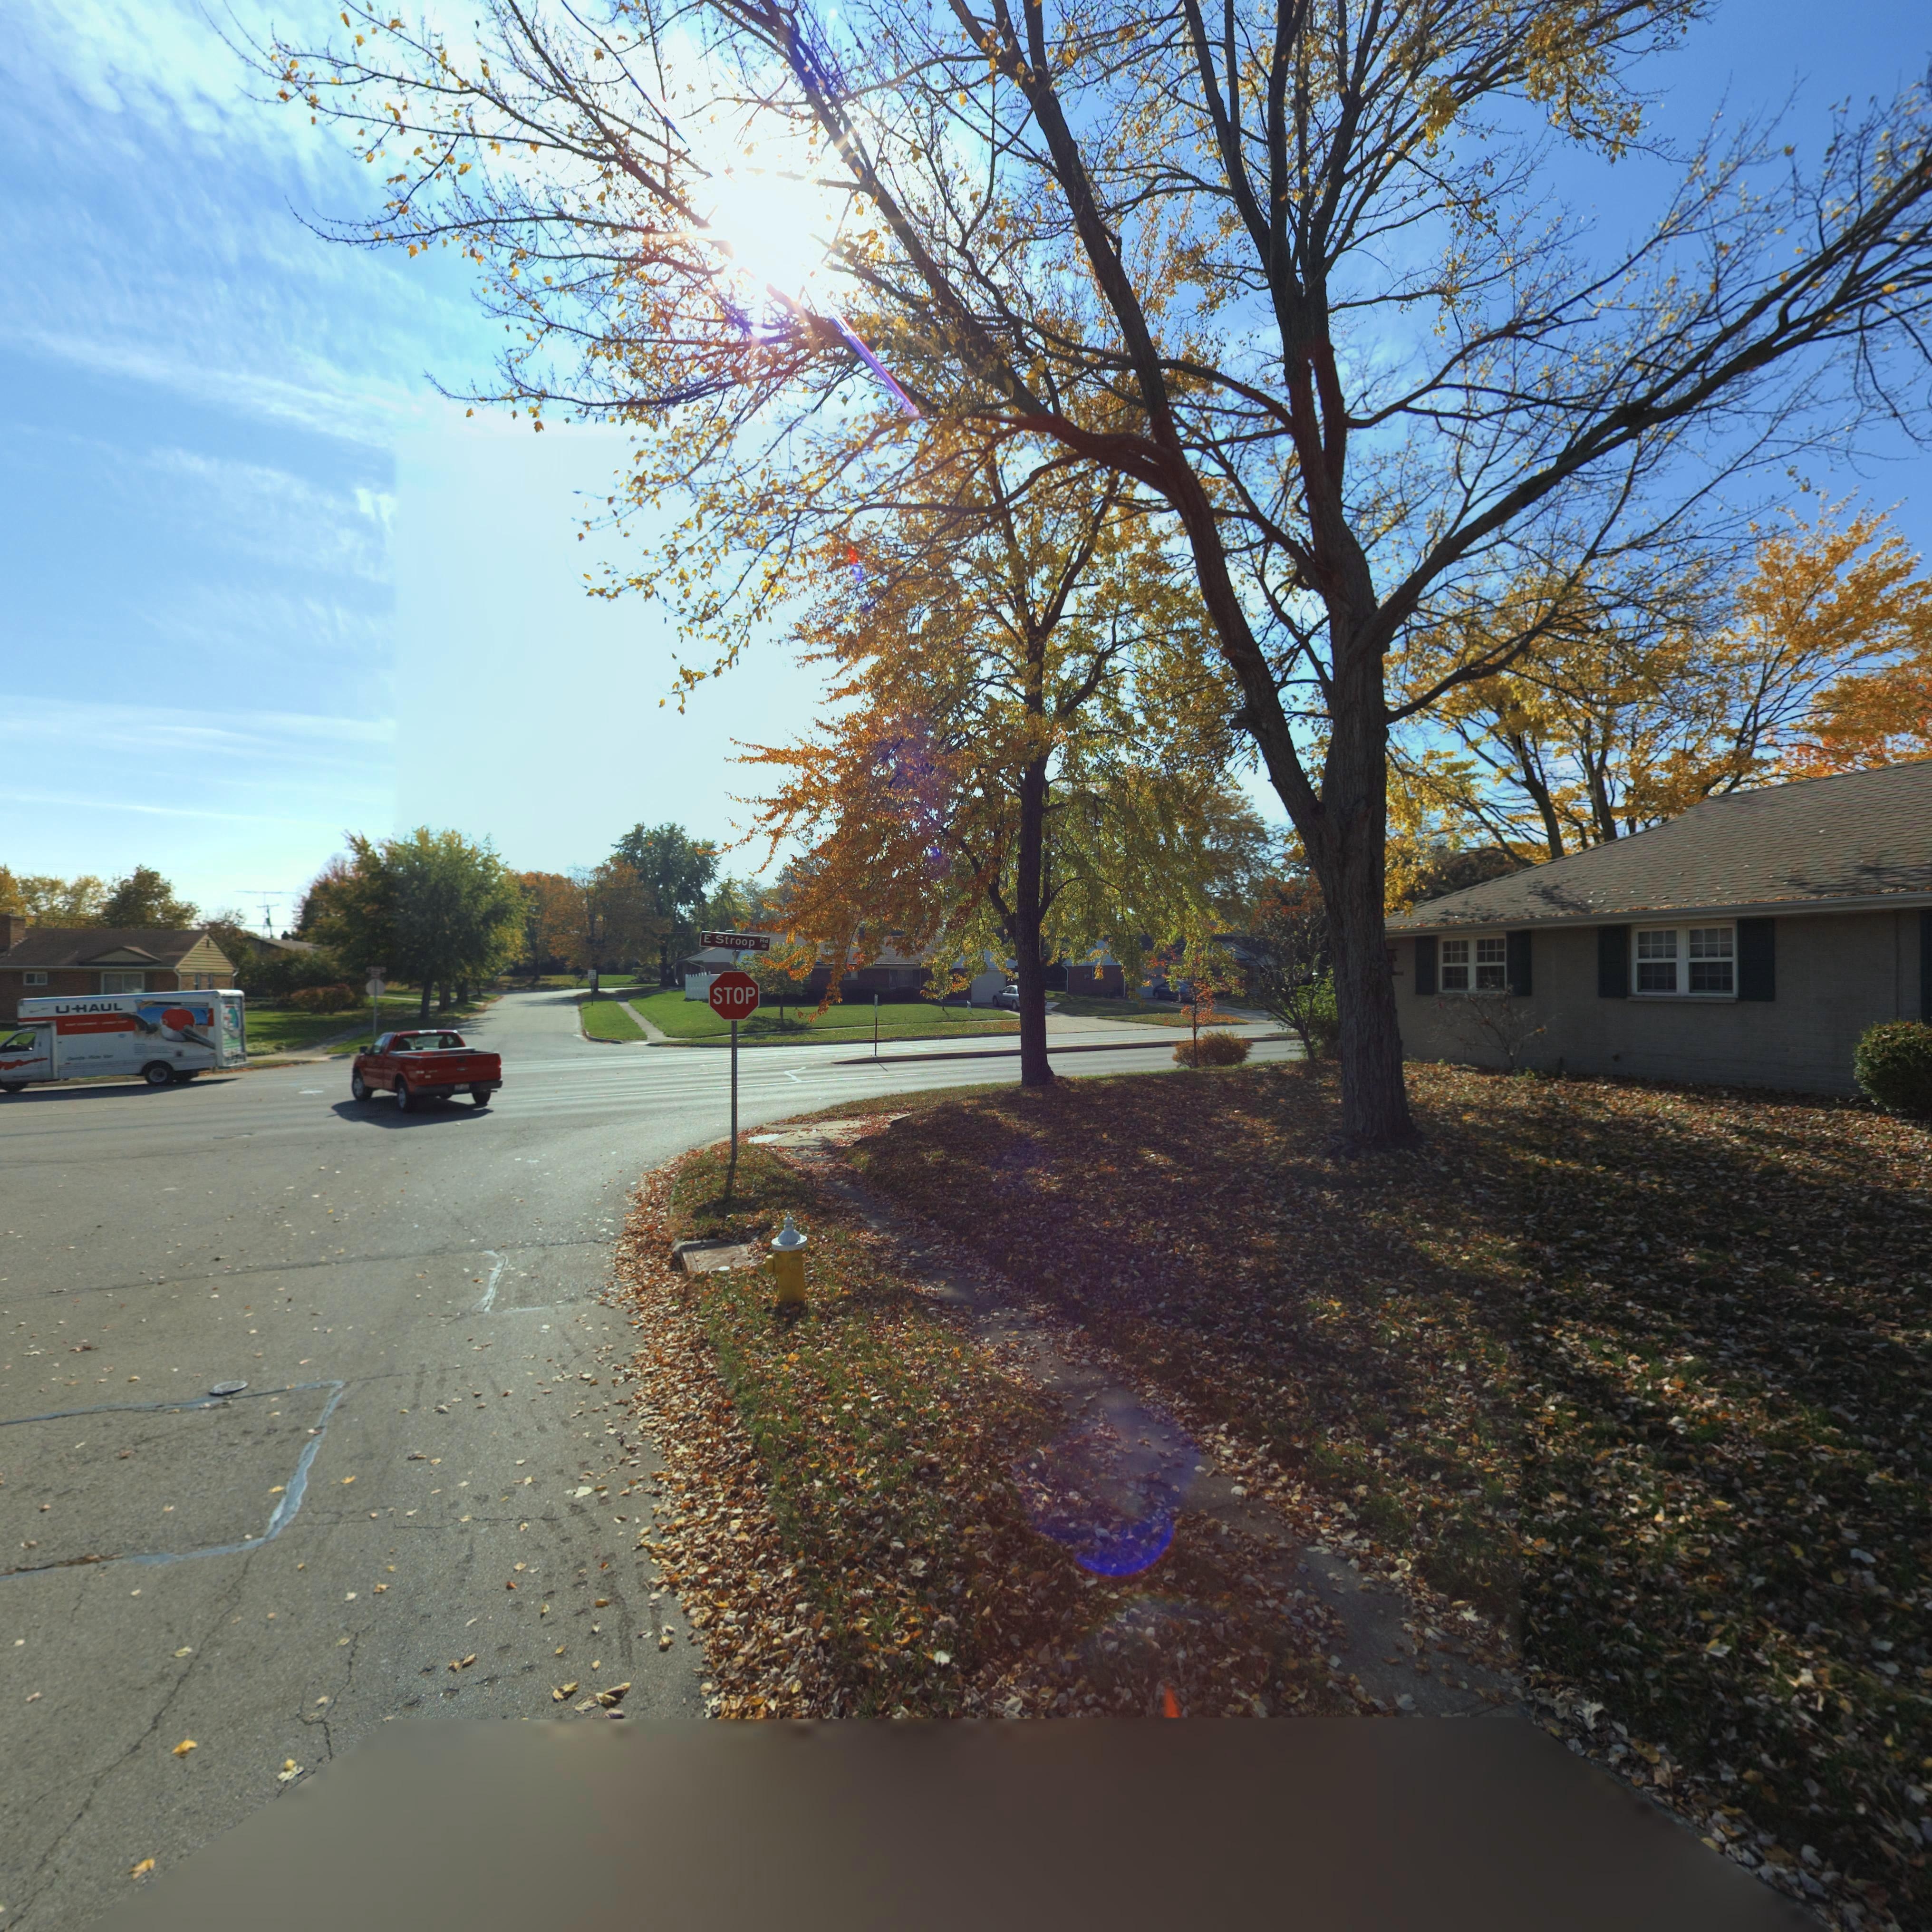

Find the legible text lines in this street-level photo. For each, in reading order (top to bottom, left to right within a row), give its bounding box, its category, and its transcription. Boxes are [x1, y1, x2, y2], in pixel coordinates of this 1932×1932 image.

[702, 932, 770, 950] StreetName: E Stroop Rd
[712, 985, 757, 1006] None: STOP
[54, 1001, 125, 1015] None: UHAUL